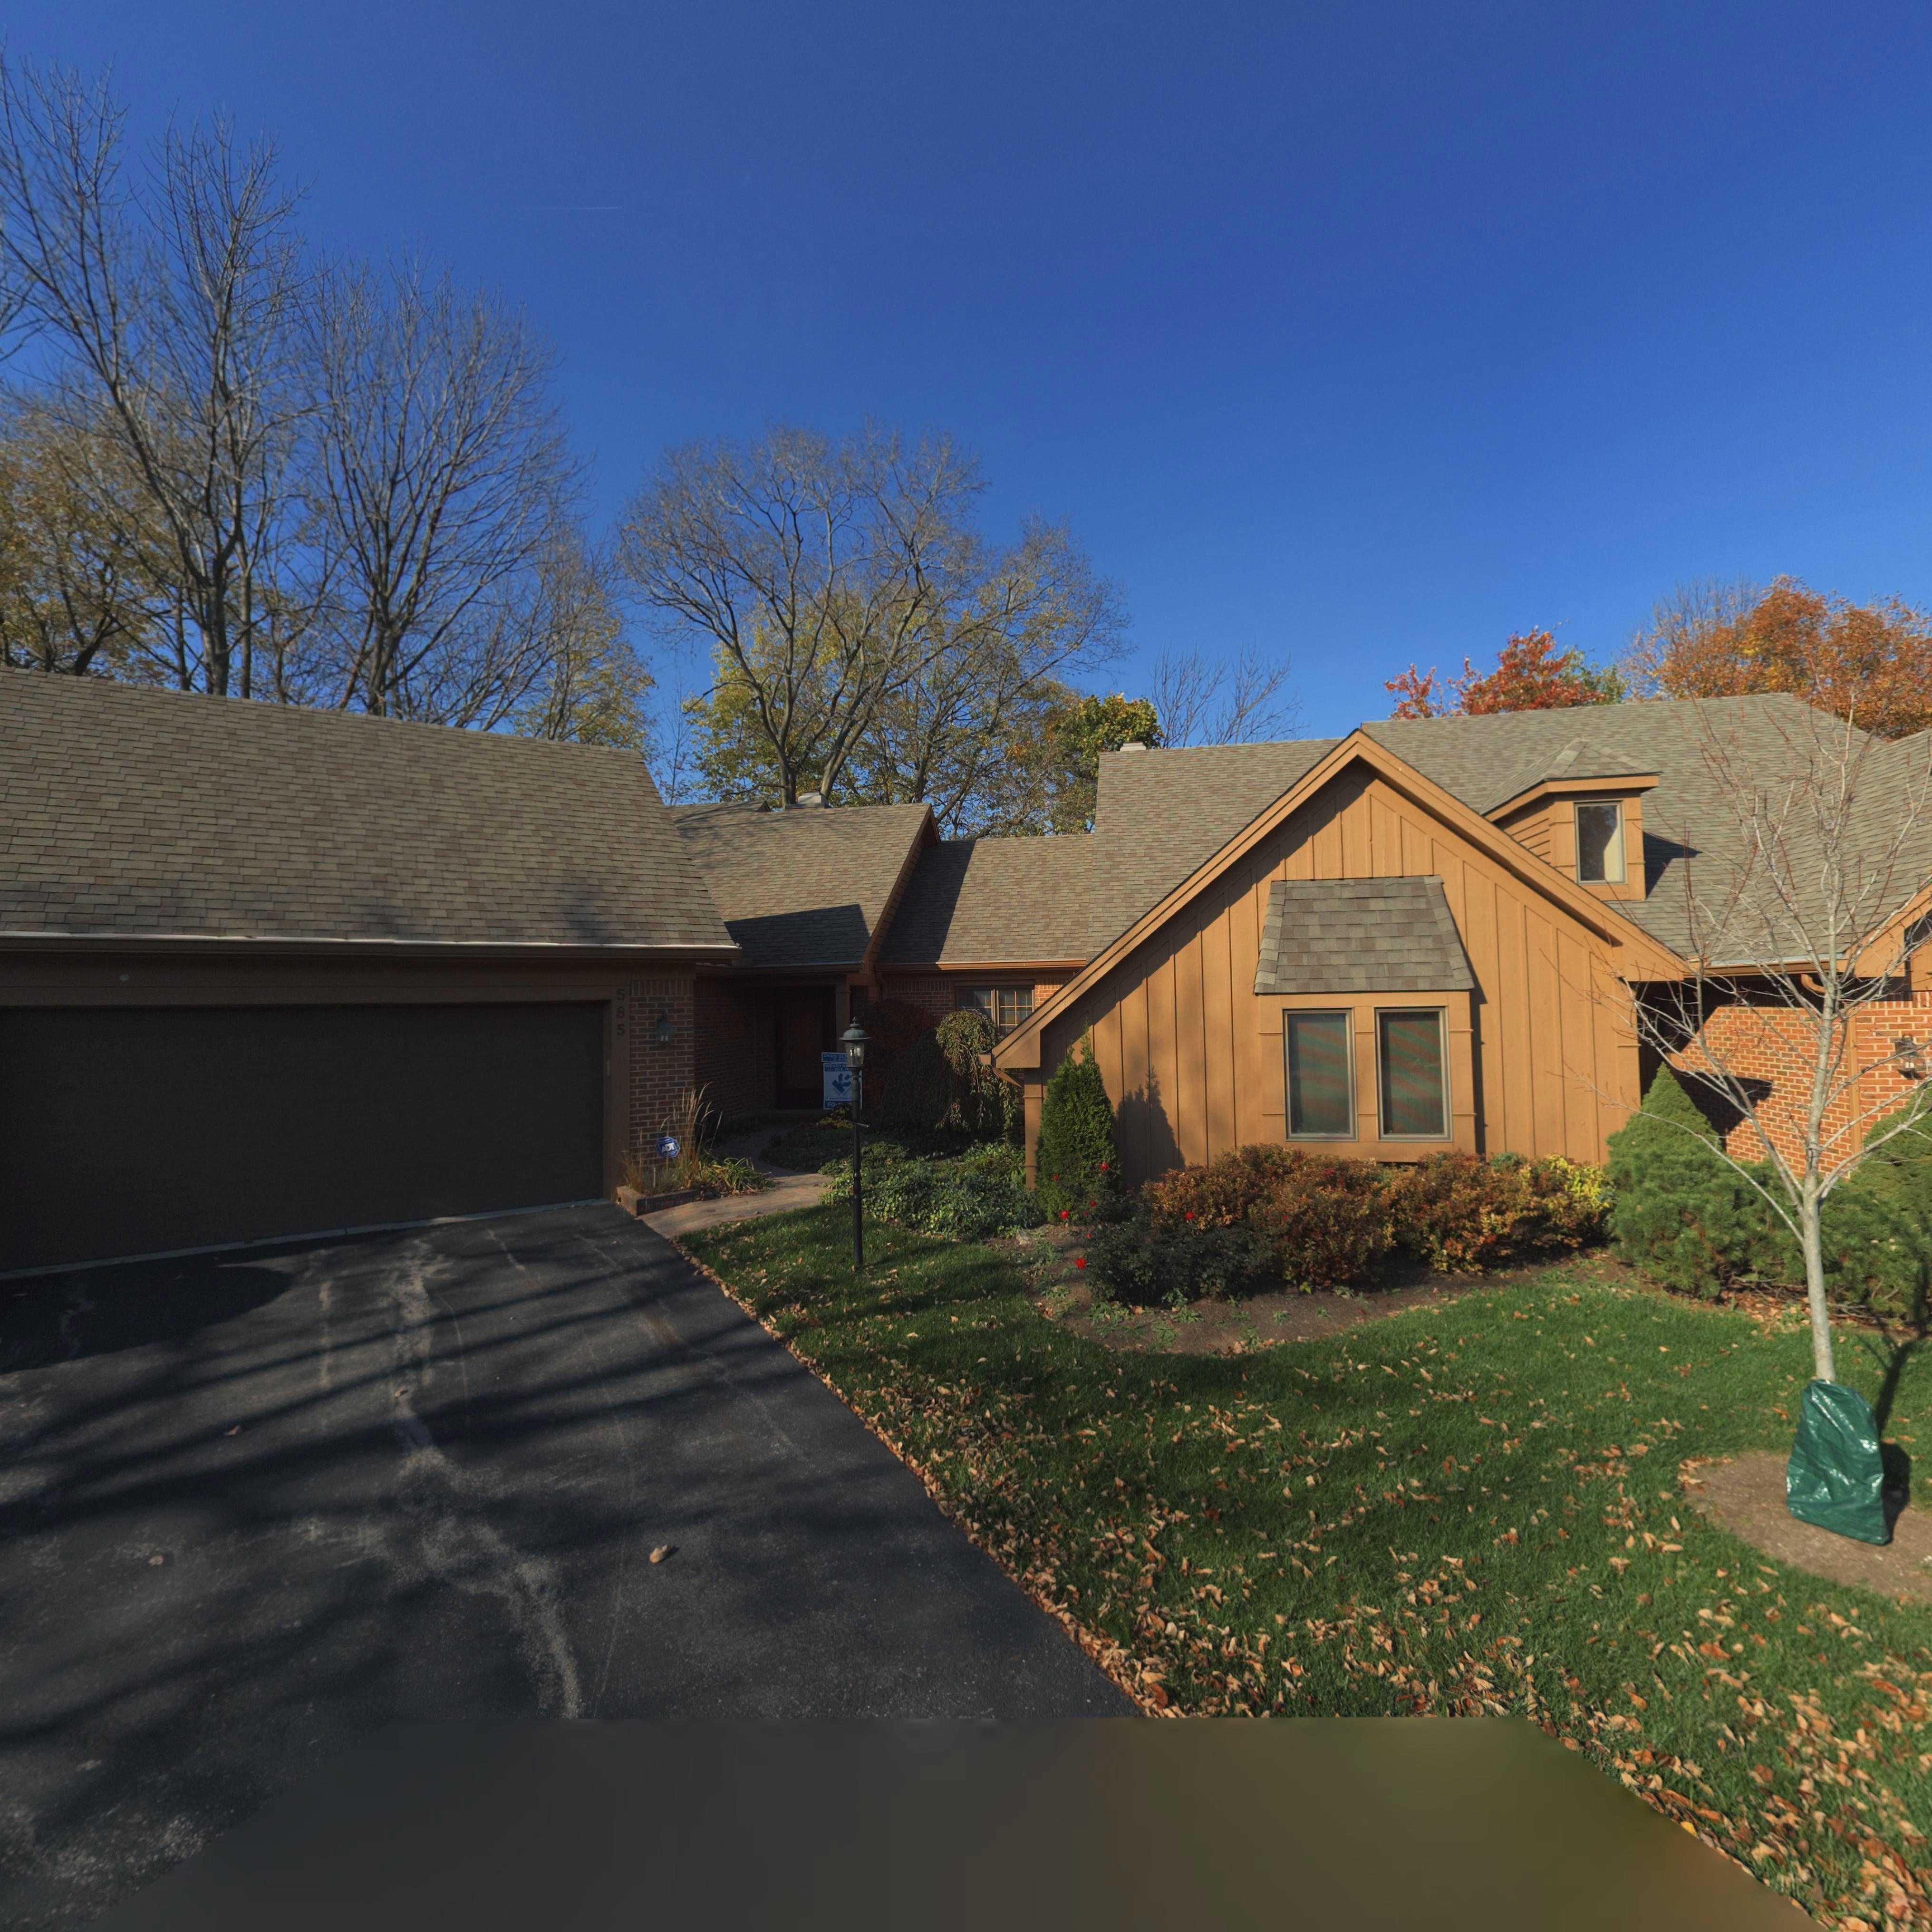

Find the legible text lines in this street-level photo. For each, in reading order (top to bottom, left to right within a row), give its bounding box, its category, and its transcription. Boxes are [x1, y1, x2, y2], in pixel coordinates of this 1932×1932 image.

[616, 987, 625, 1036] StreetNumber: 585